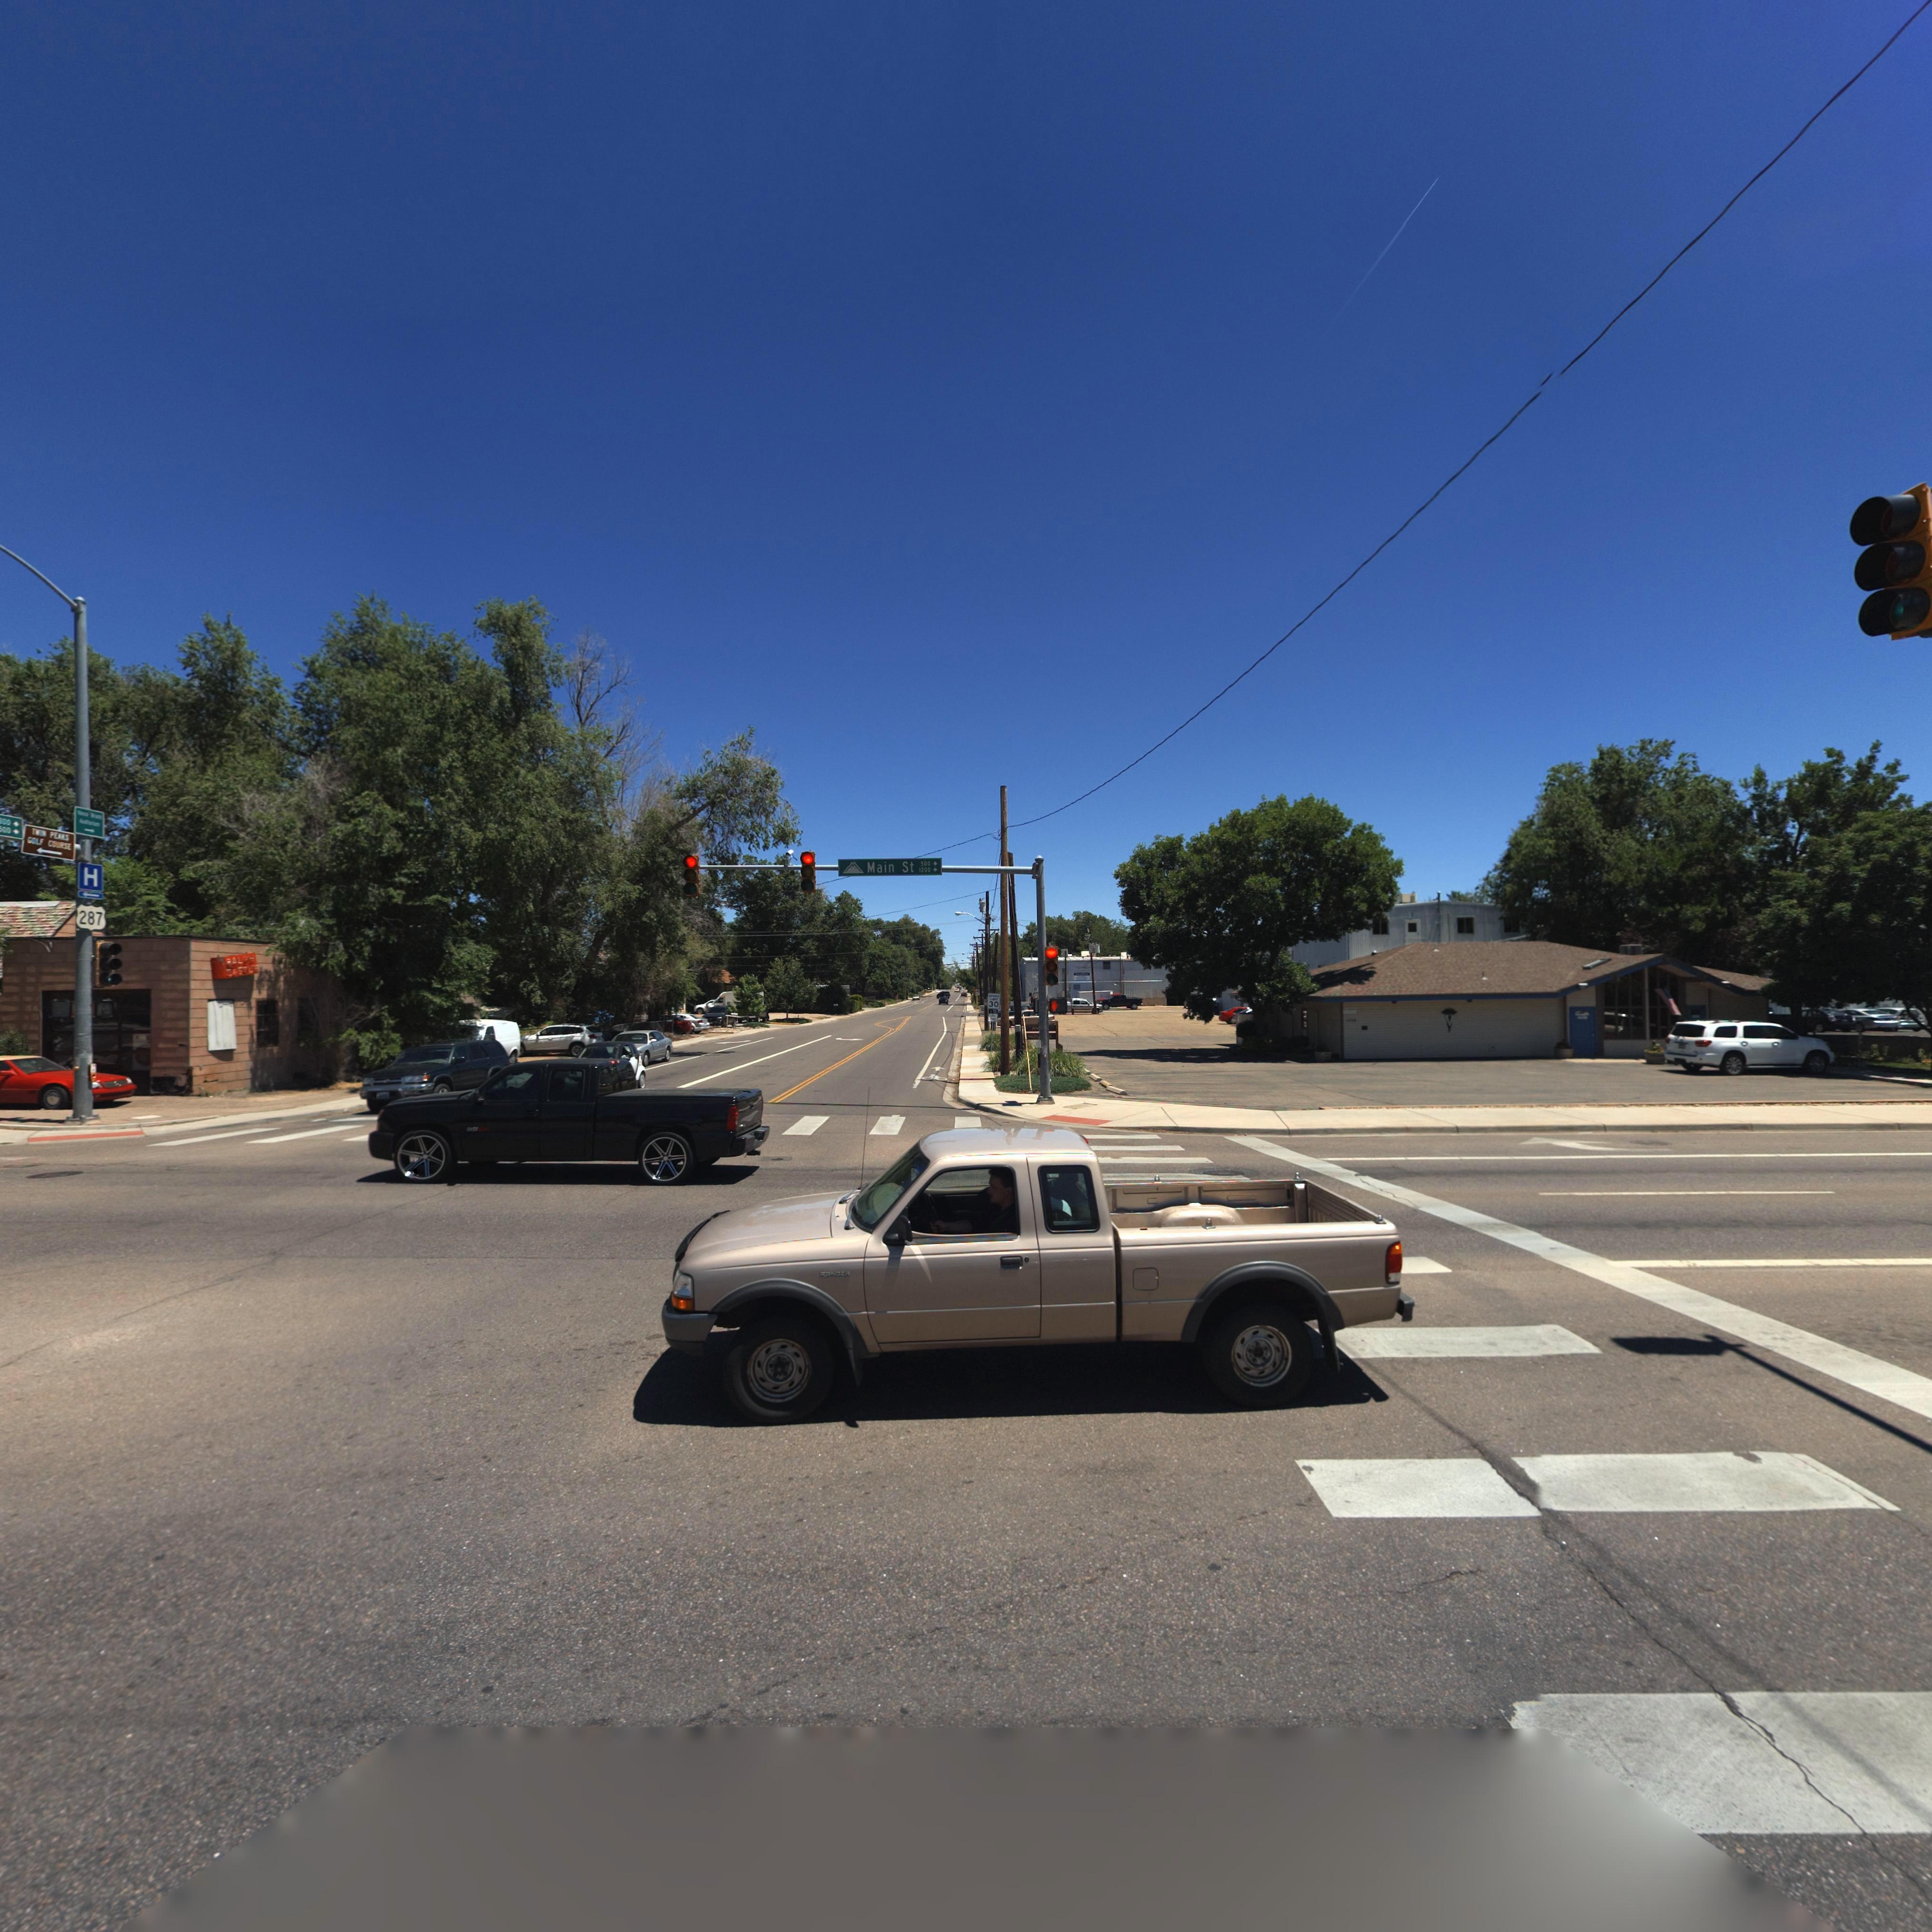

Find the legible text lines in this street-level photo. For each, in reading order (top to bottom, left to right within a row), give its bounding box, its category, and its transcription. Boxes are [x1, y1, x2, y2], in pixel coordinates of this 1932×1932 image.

[2, 817, 11, 826] StreetNumberRange: 00
[1, 825, 20, 834] StreetNumberRange: 00->
[867, 861, 914, 873] StreetName: Main St
[920, 860, 930, 866] StreetNumberRange: 500
[918, 867, 937, 872] StreetNumberRange: 1200->
[225, 954, 255, 966] BusinessName: RALPH
[225, 964, 259, 977] BusinessName: CASTLE
[1345, 1018, 1356, 1023] StreetNumber: 1294